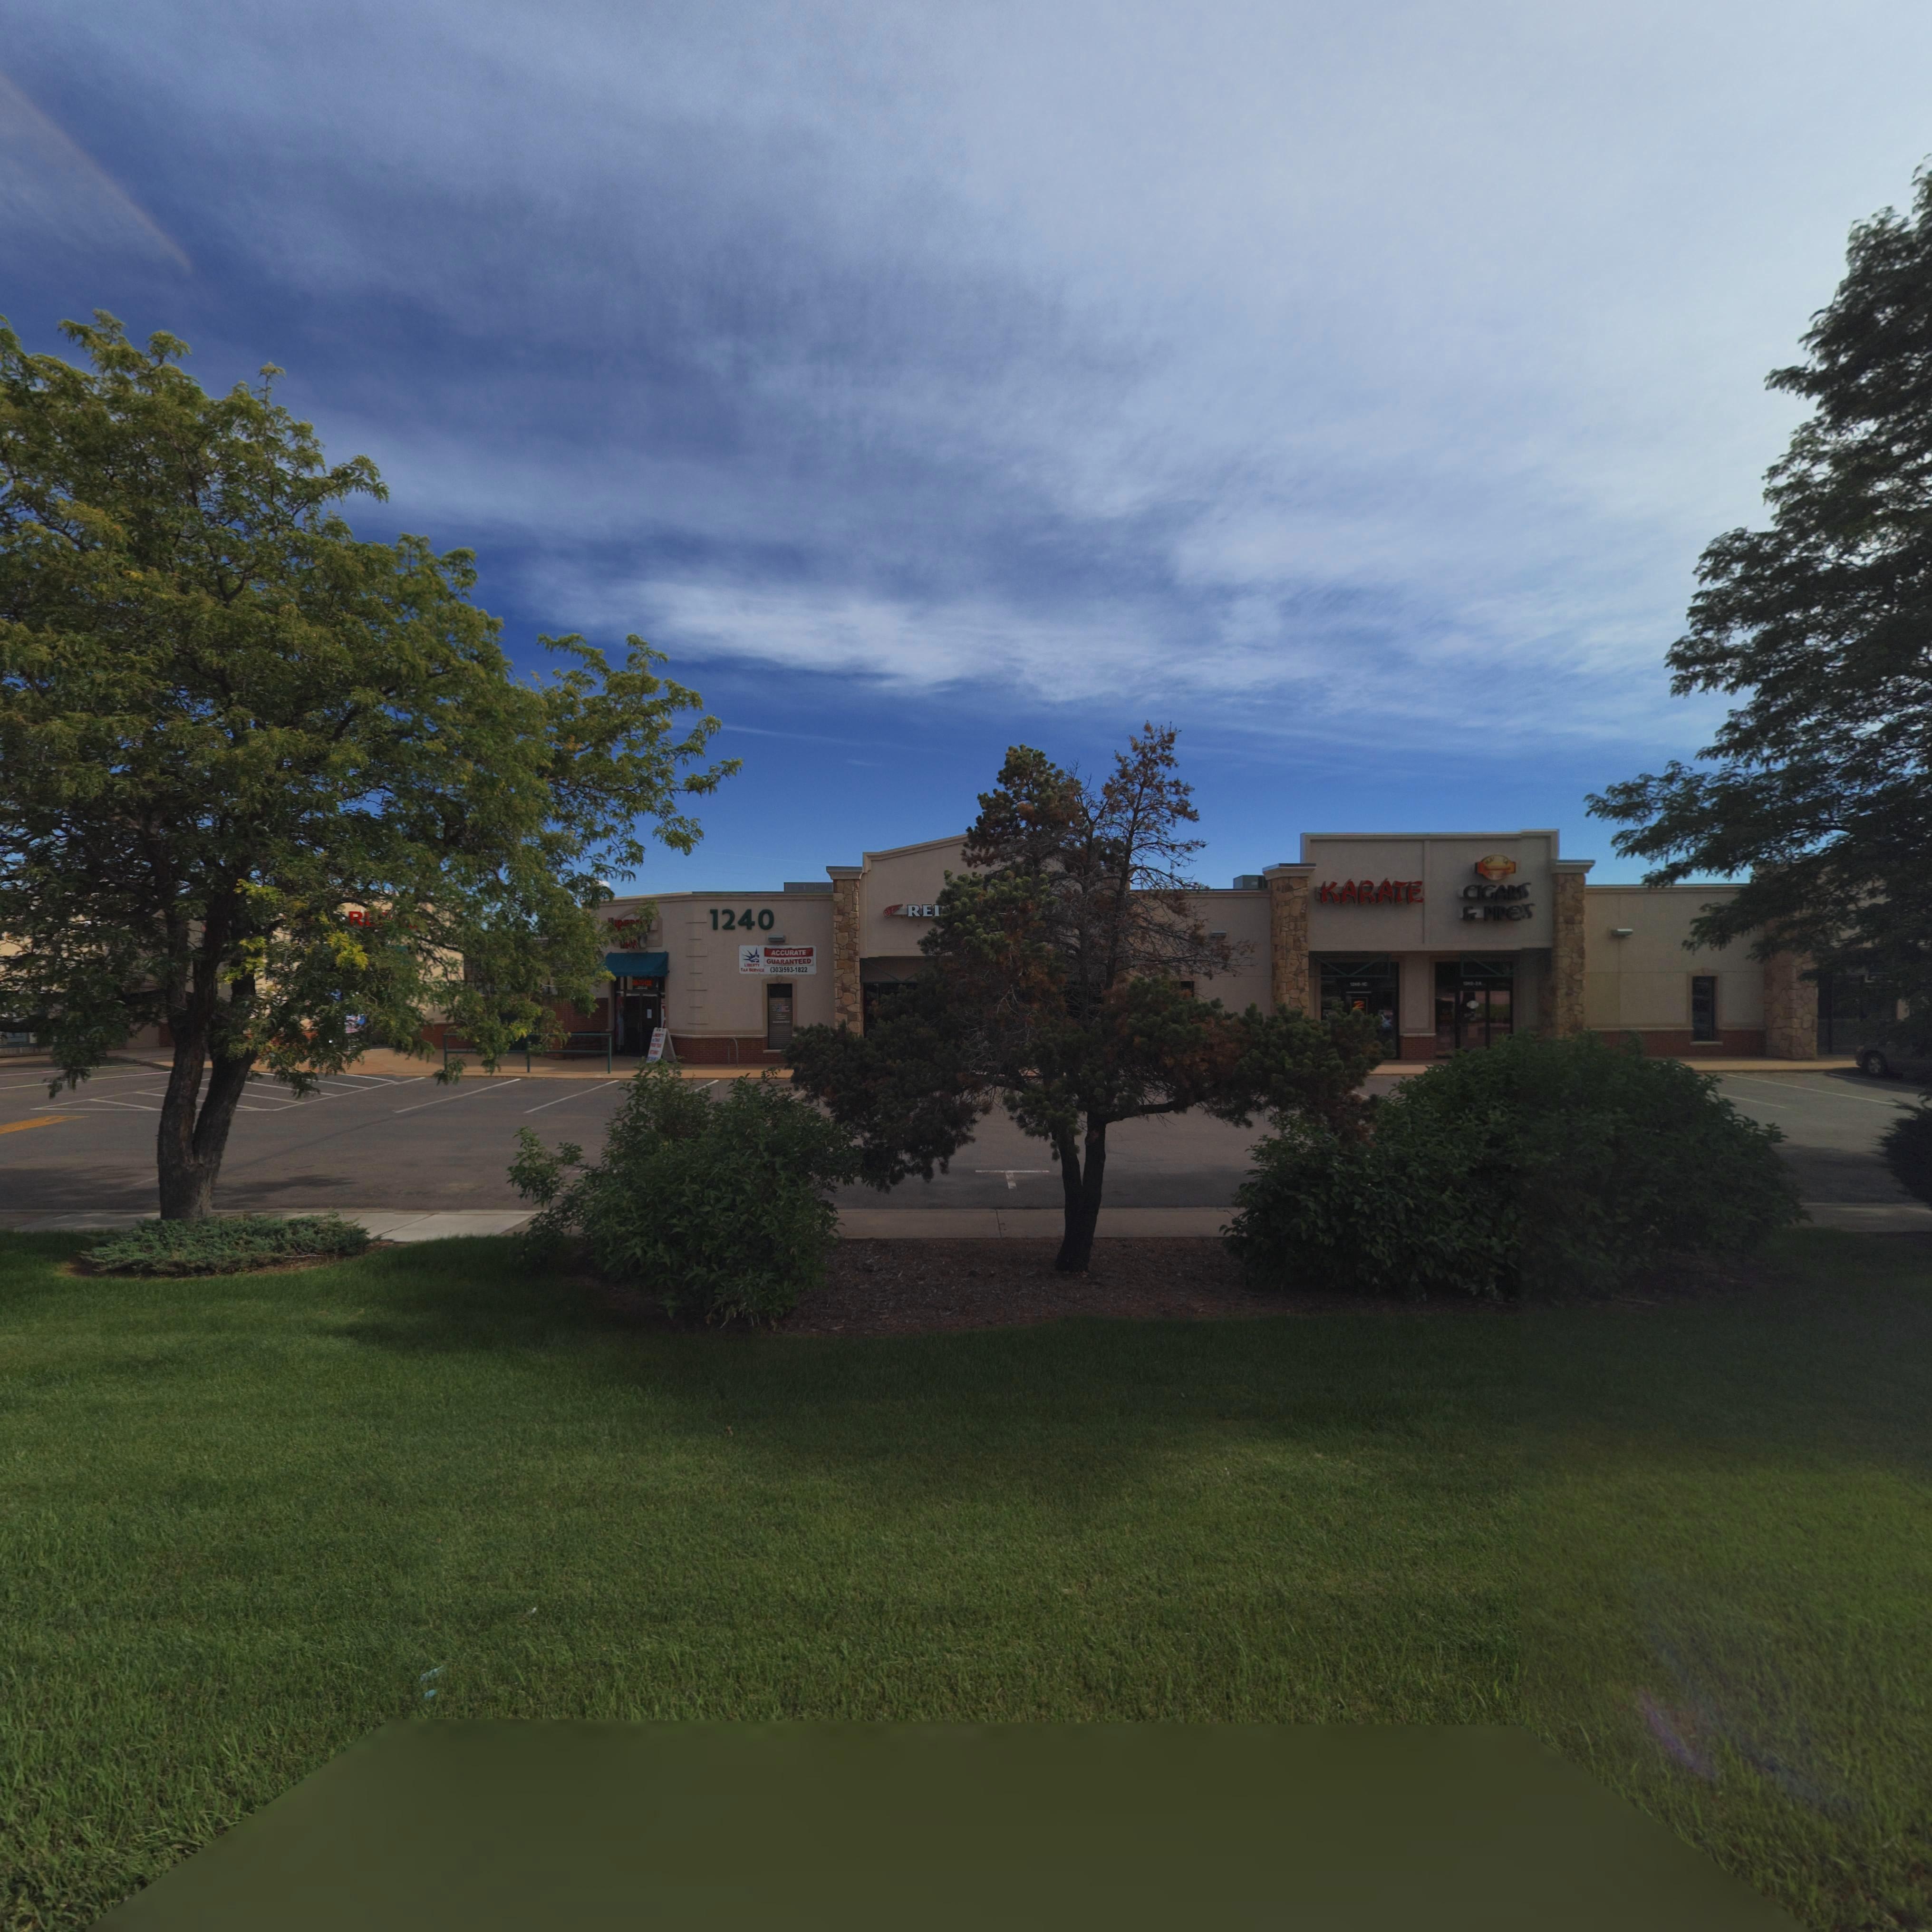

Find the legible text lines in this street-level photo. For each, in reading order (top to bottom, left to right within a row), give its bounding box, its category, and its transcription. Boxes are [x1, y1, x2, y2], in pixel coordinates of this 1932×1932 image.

[1320, 877, 1425, 904] BusinessName: KARATE
[1461, 880, 1532, 902] BusinessName: CIGAR*S
[348, 910, 365, 927] BusinessName: R
[709, 908, 774, 931] StreetNumber: 1240
[905, 903, 934, 917] BusinessName: RE
[1462, 901, 1536, 922] BusinessName: & PIPES
[744, 963, 761, 967] BusinessName: LIBERTY
[740, 967, 764, 972] BusinessName: TAX SERVICE
[1349, 982, 1368, 986] BusinessName: 1240-1C
[1462, 981, 1483, 985] BusinessName: 12*****